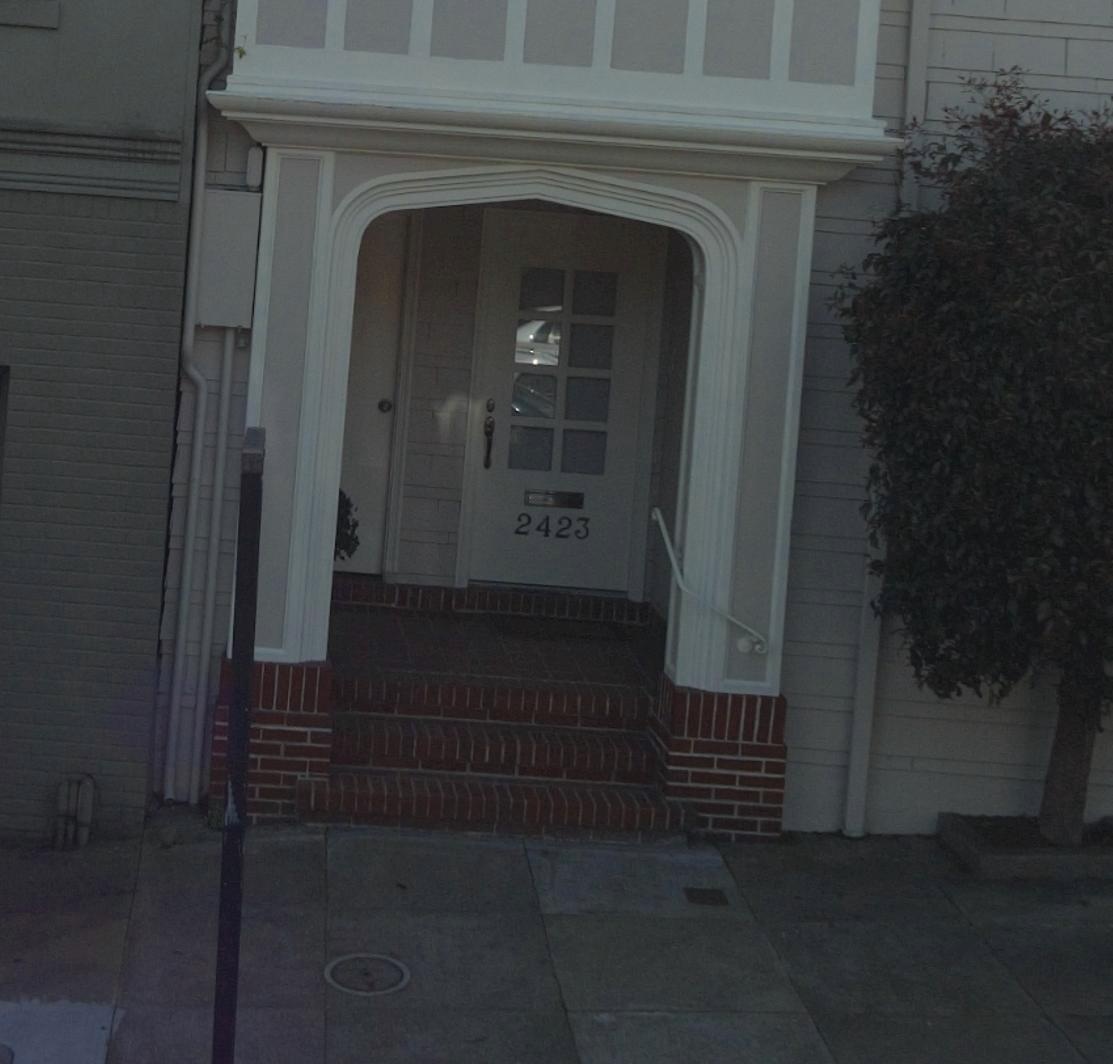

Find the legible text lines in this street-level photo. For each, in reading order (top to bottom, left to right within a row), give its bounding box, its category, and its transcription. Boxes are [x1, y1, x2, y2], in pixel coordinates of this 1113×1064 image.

[511, 510, 594, 543] StreetNumber: 2423